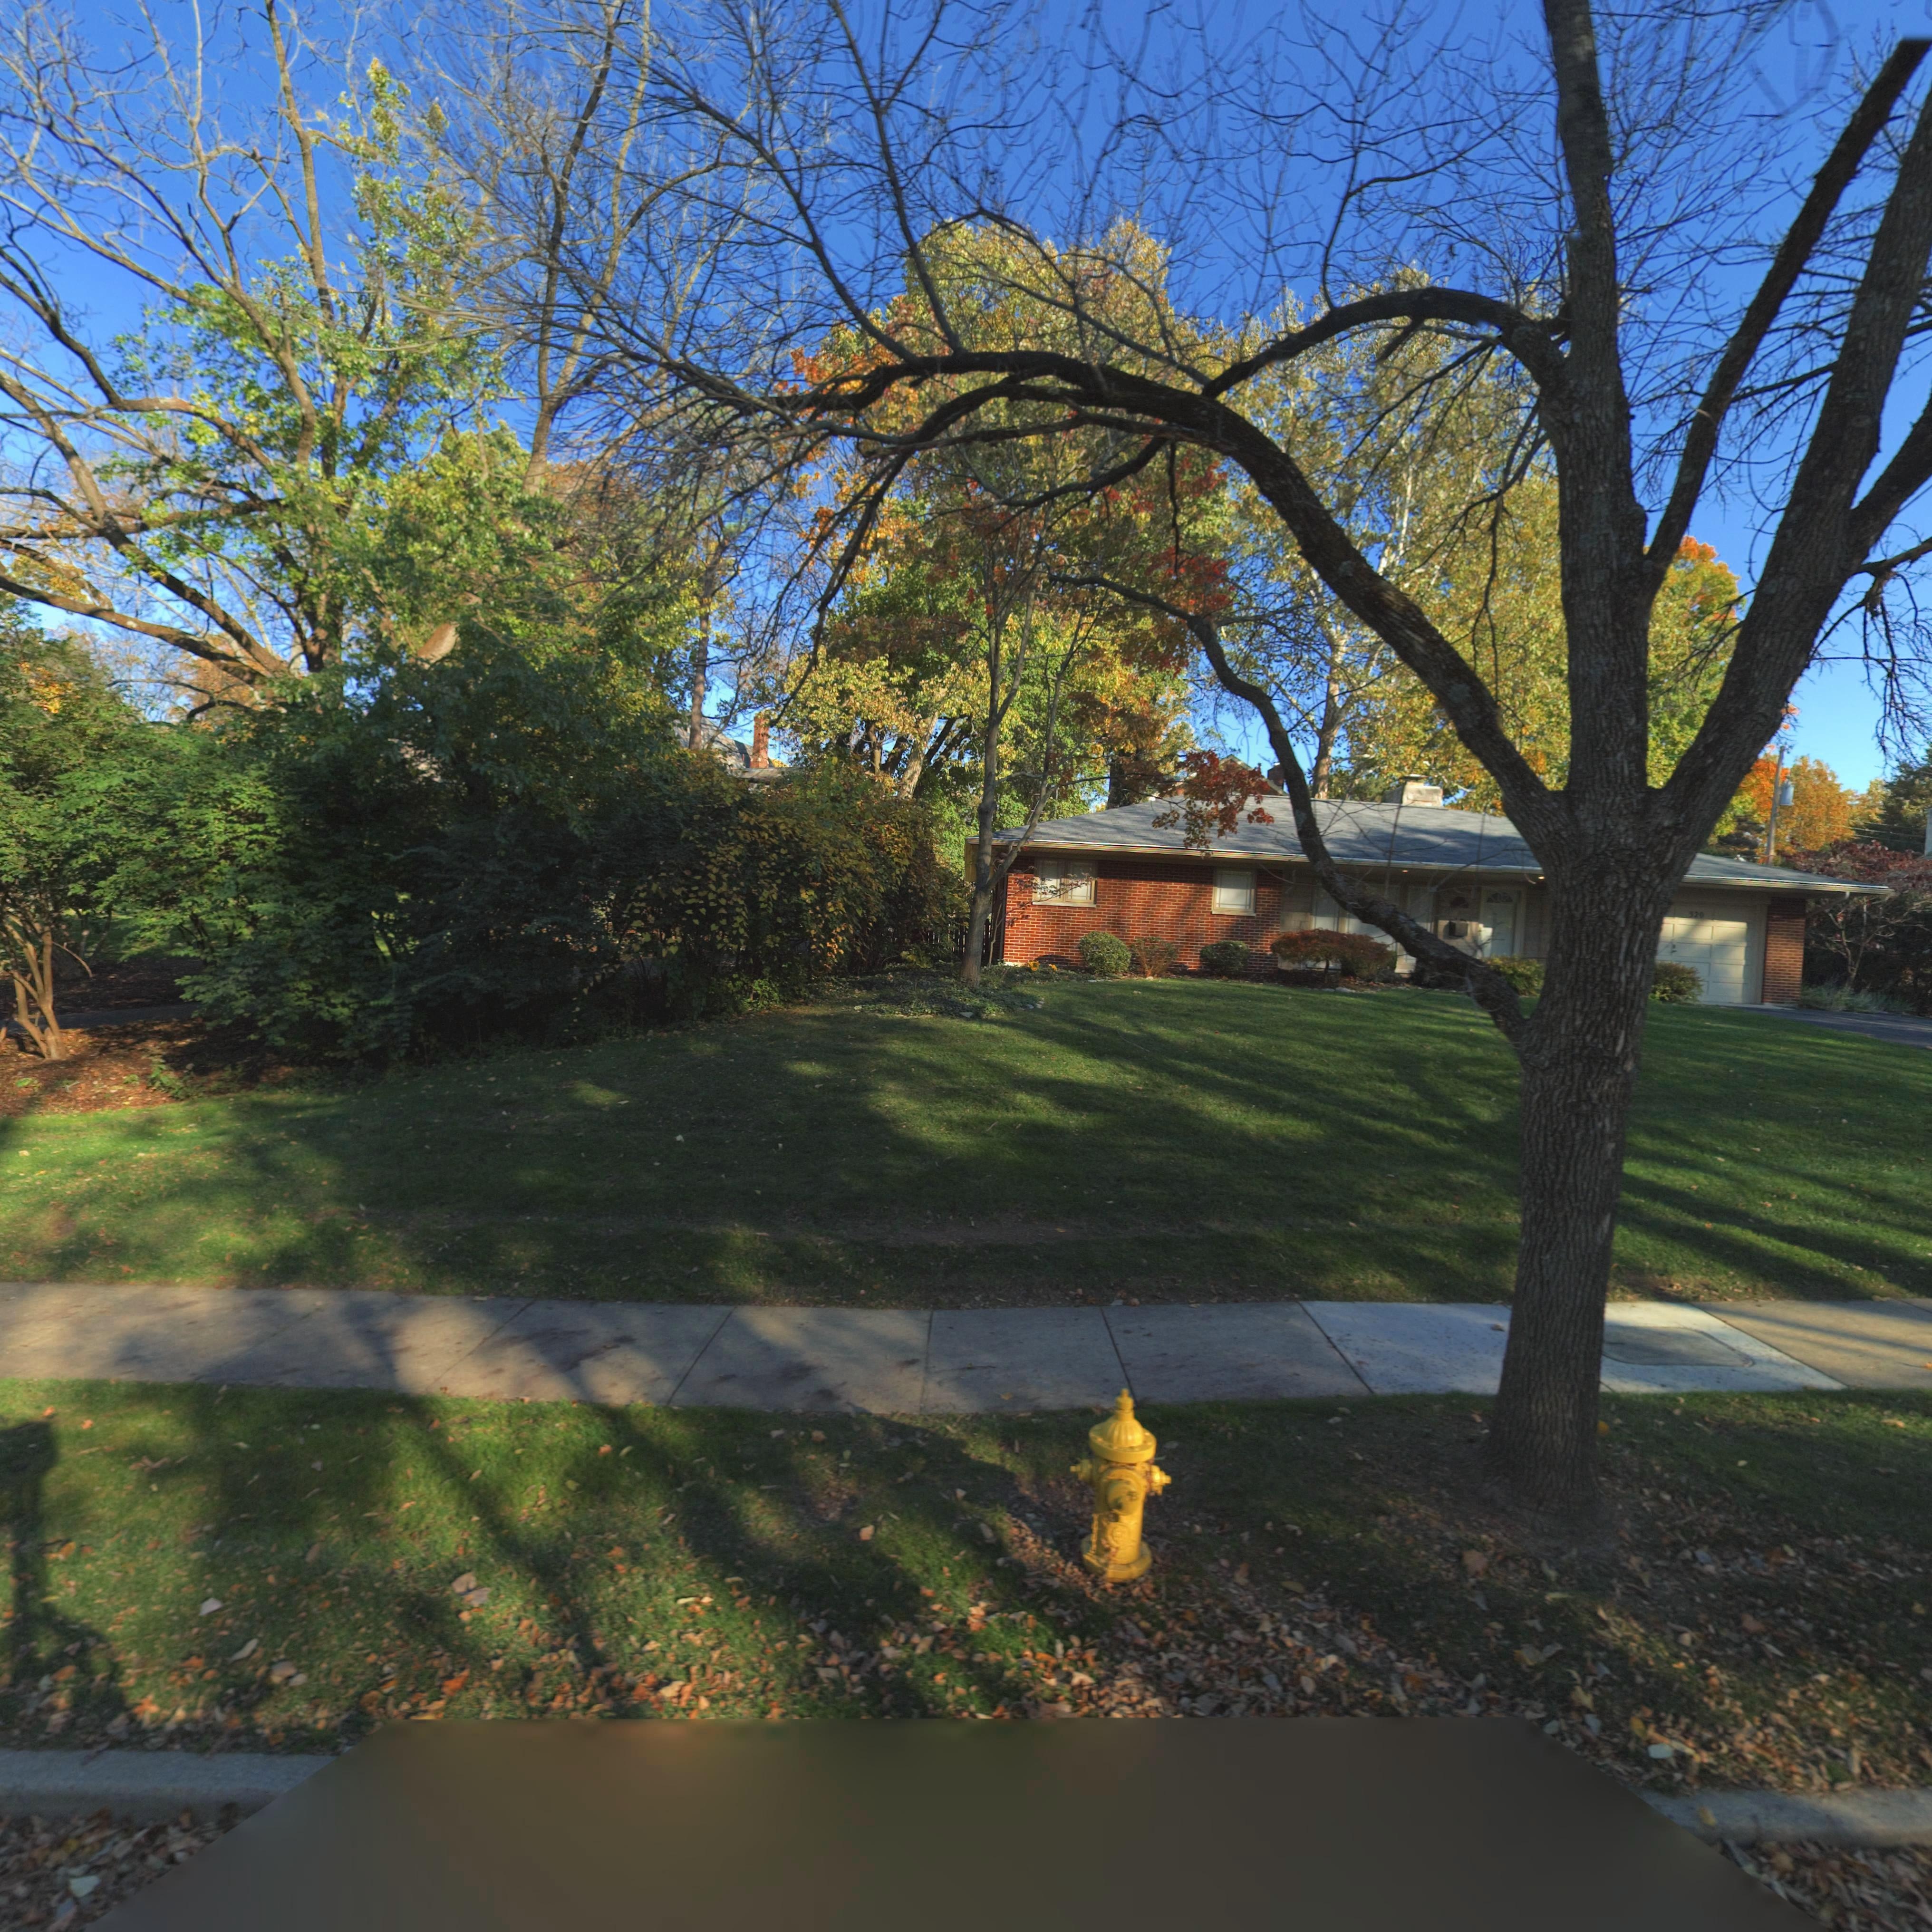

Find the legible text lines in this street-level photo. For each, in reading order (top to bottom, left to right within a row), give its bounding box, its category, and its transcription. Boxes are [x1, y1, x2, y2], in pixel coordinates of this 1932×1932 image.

[1687, 910, 1705, 919] StreetNumber: 320